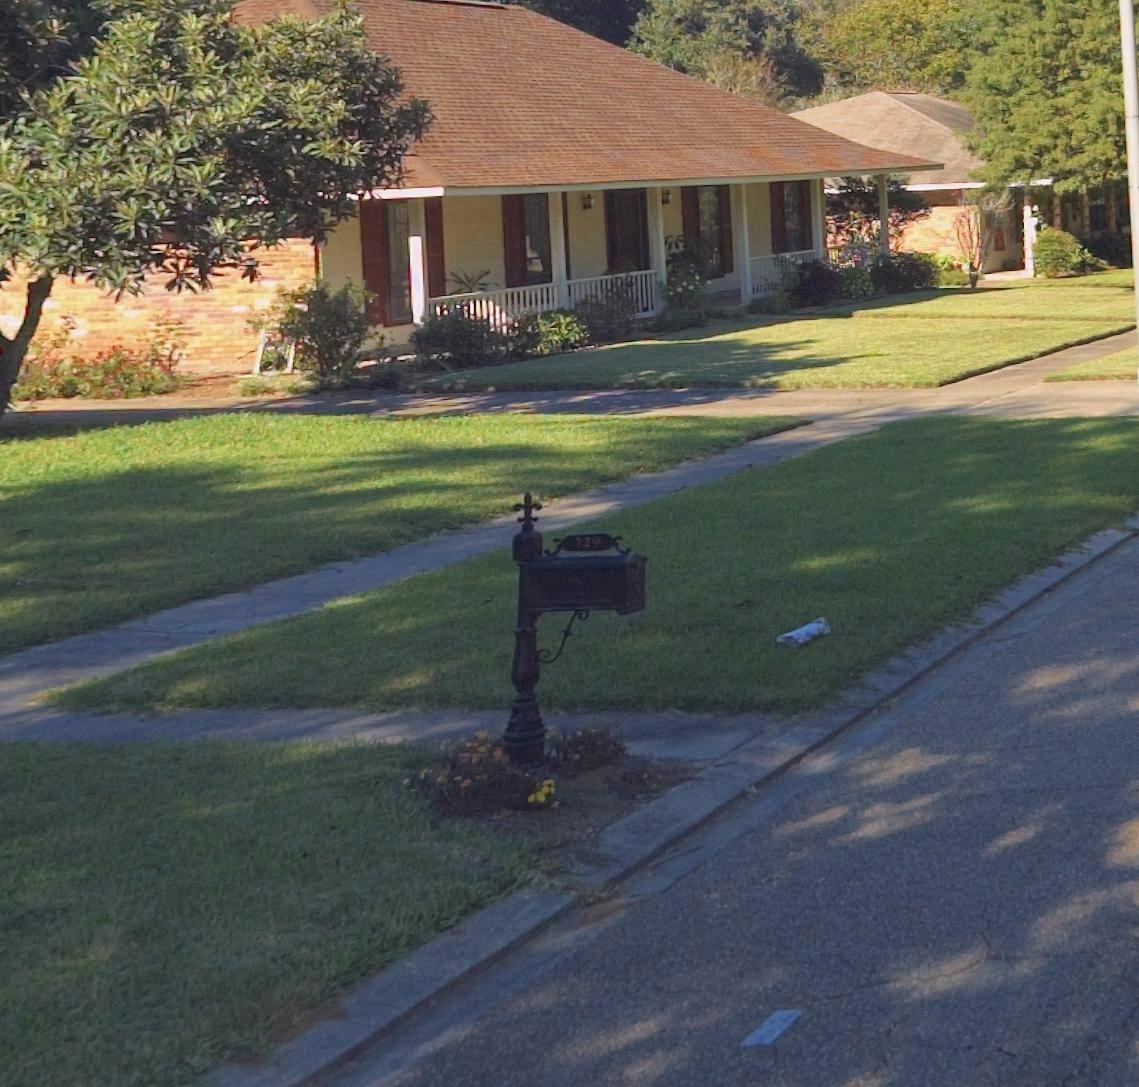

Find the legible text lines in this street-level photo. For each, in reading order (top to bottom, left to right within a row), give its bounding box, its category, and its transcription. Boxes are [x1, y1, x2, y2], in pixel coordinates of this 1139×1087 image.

[573, 534, 605, 553] StreetNumber: 729